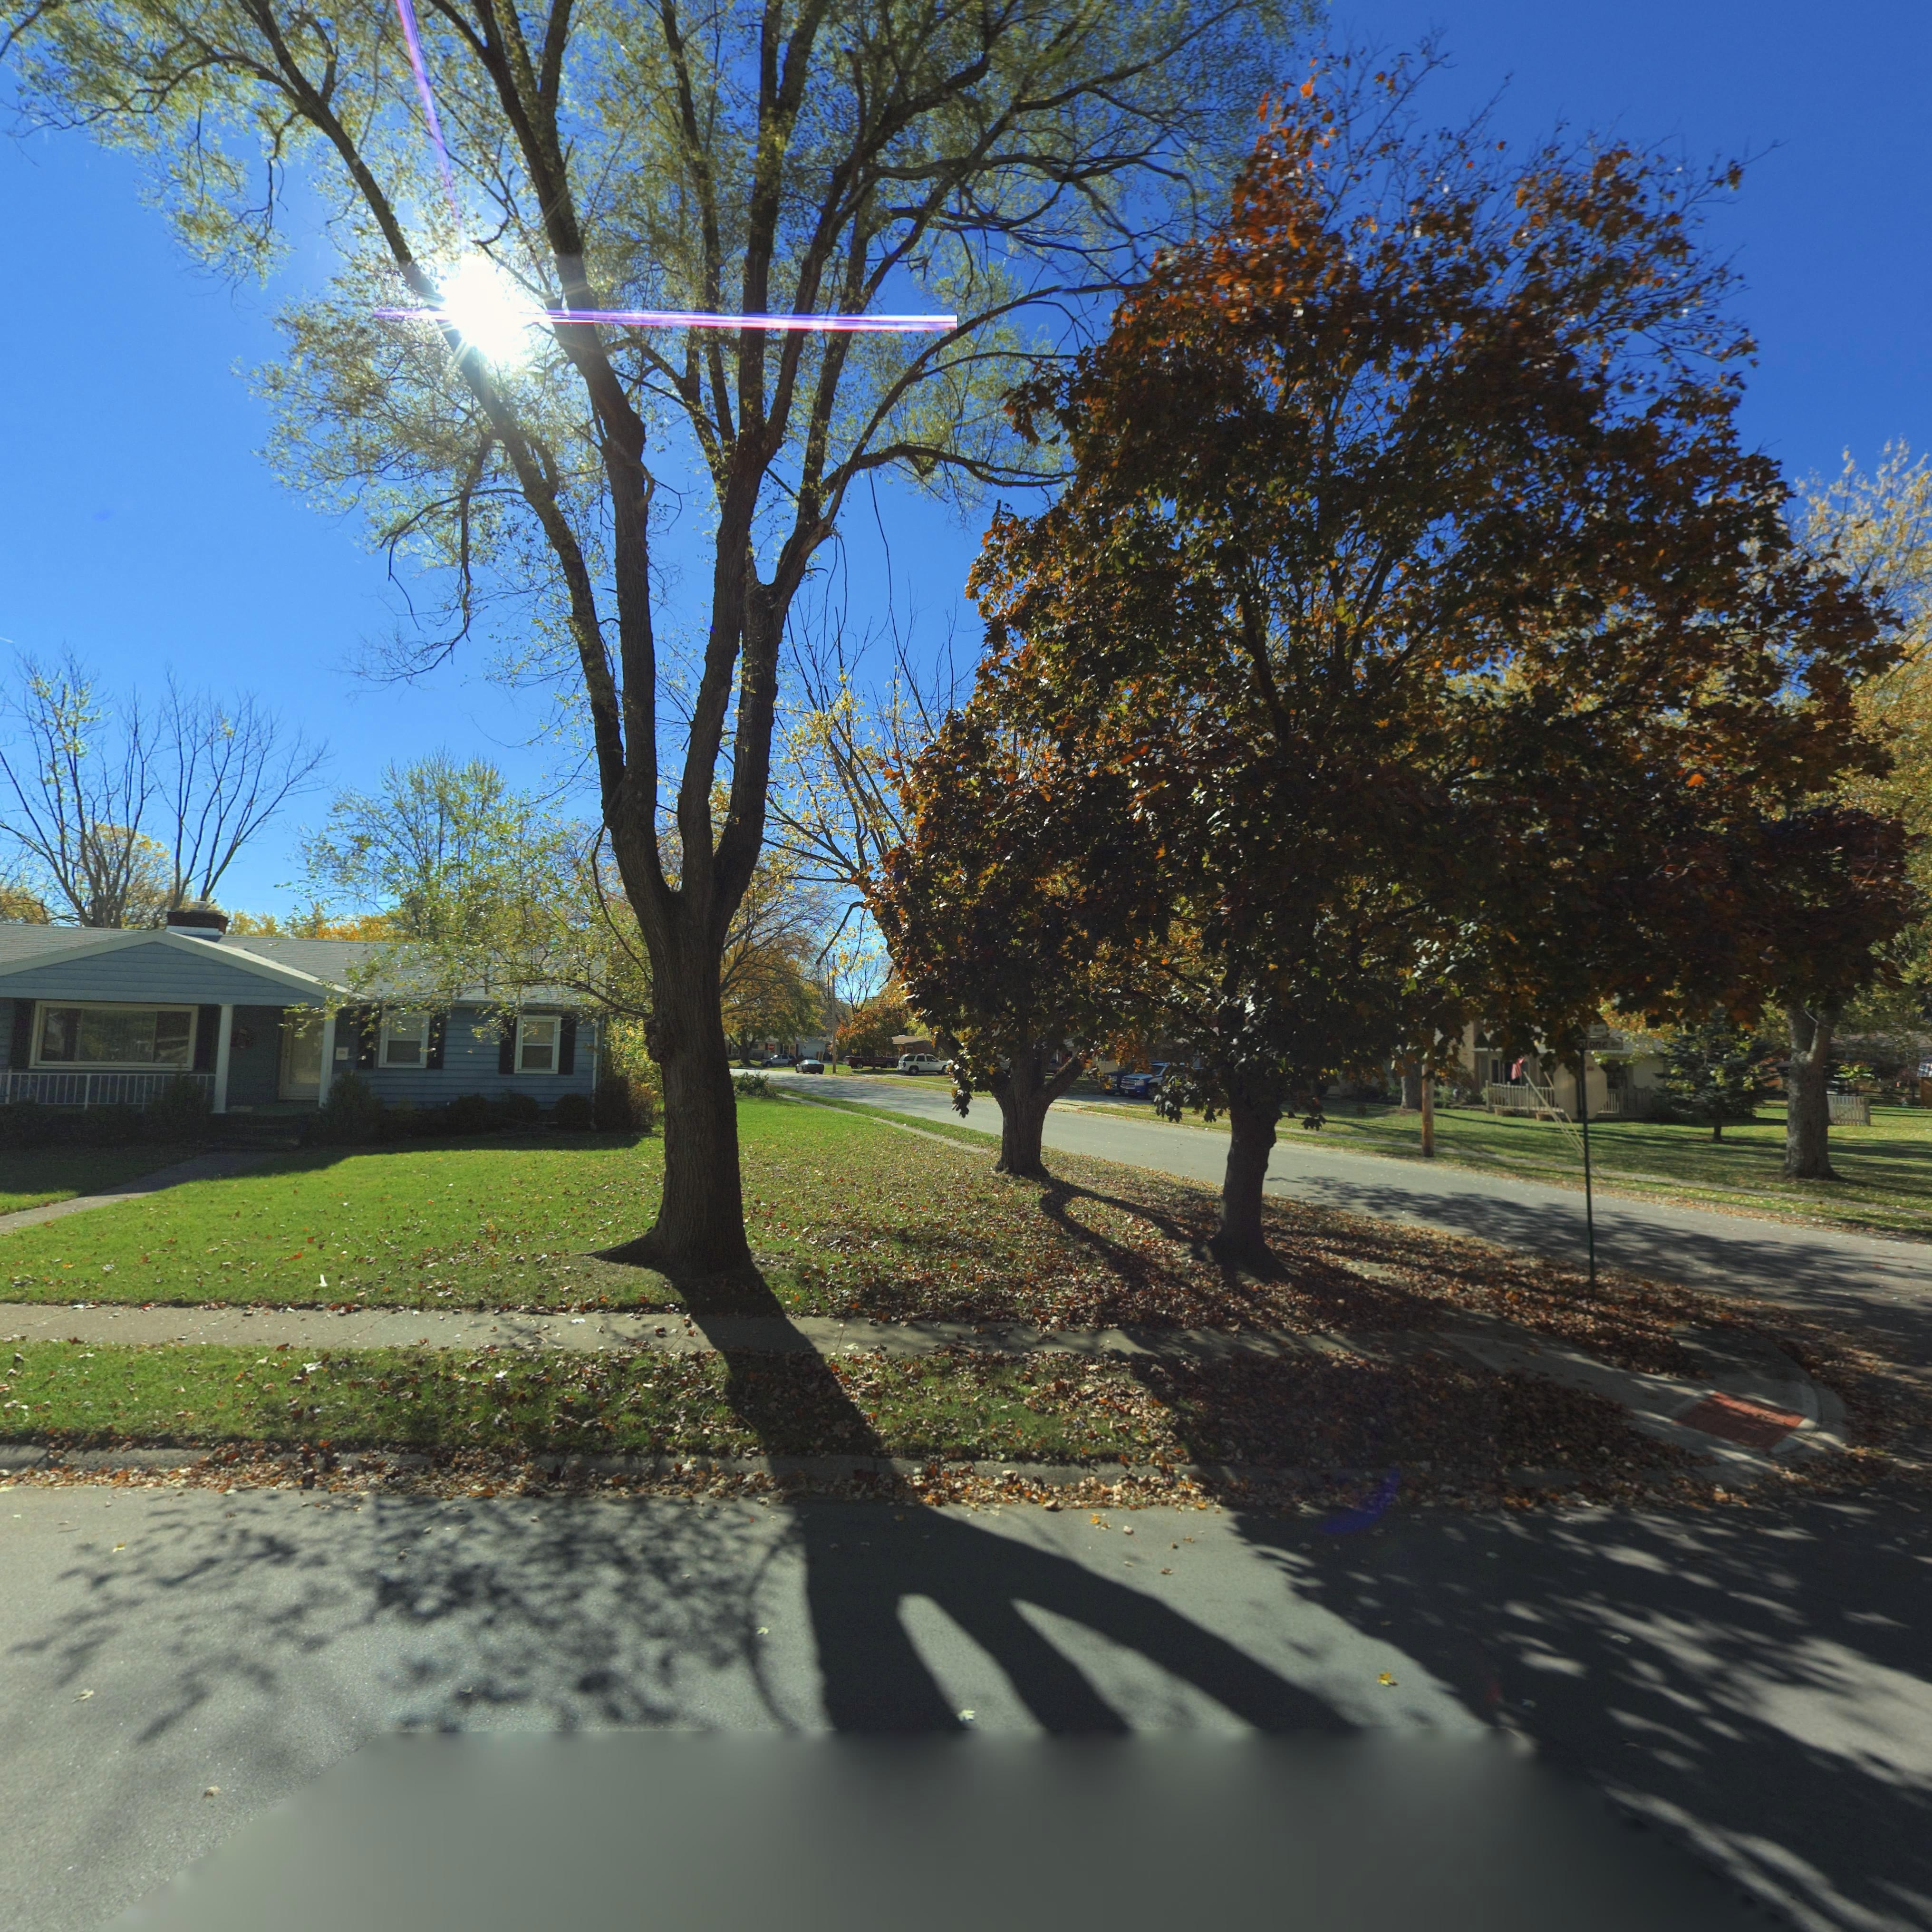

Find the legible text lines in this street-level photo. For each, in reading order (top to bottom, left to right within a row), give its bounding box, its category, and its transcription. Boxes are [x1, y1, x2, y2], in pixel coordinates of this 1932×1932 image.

[341, 1027, 346, 1034] StreetNumber: 1
[1584, 1039, 1608, 1049] StreetName: tone